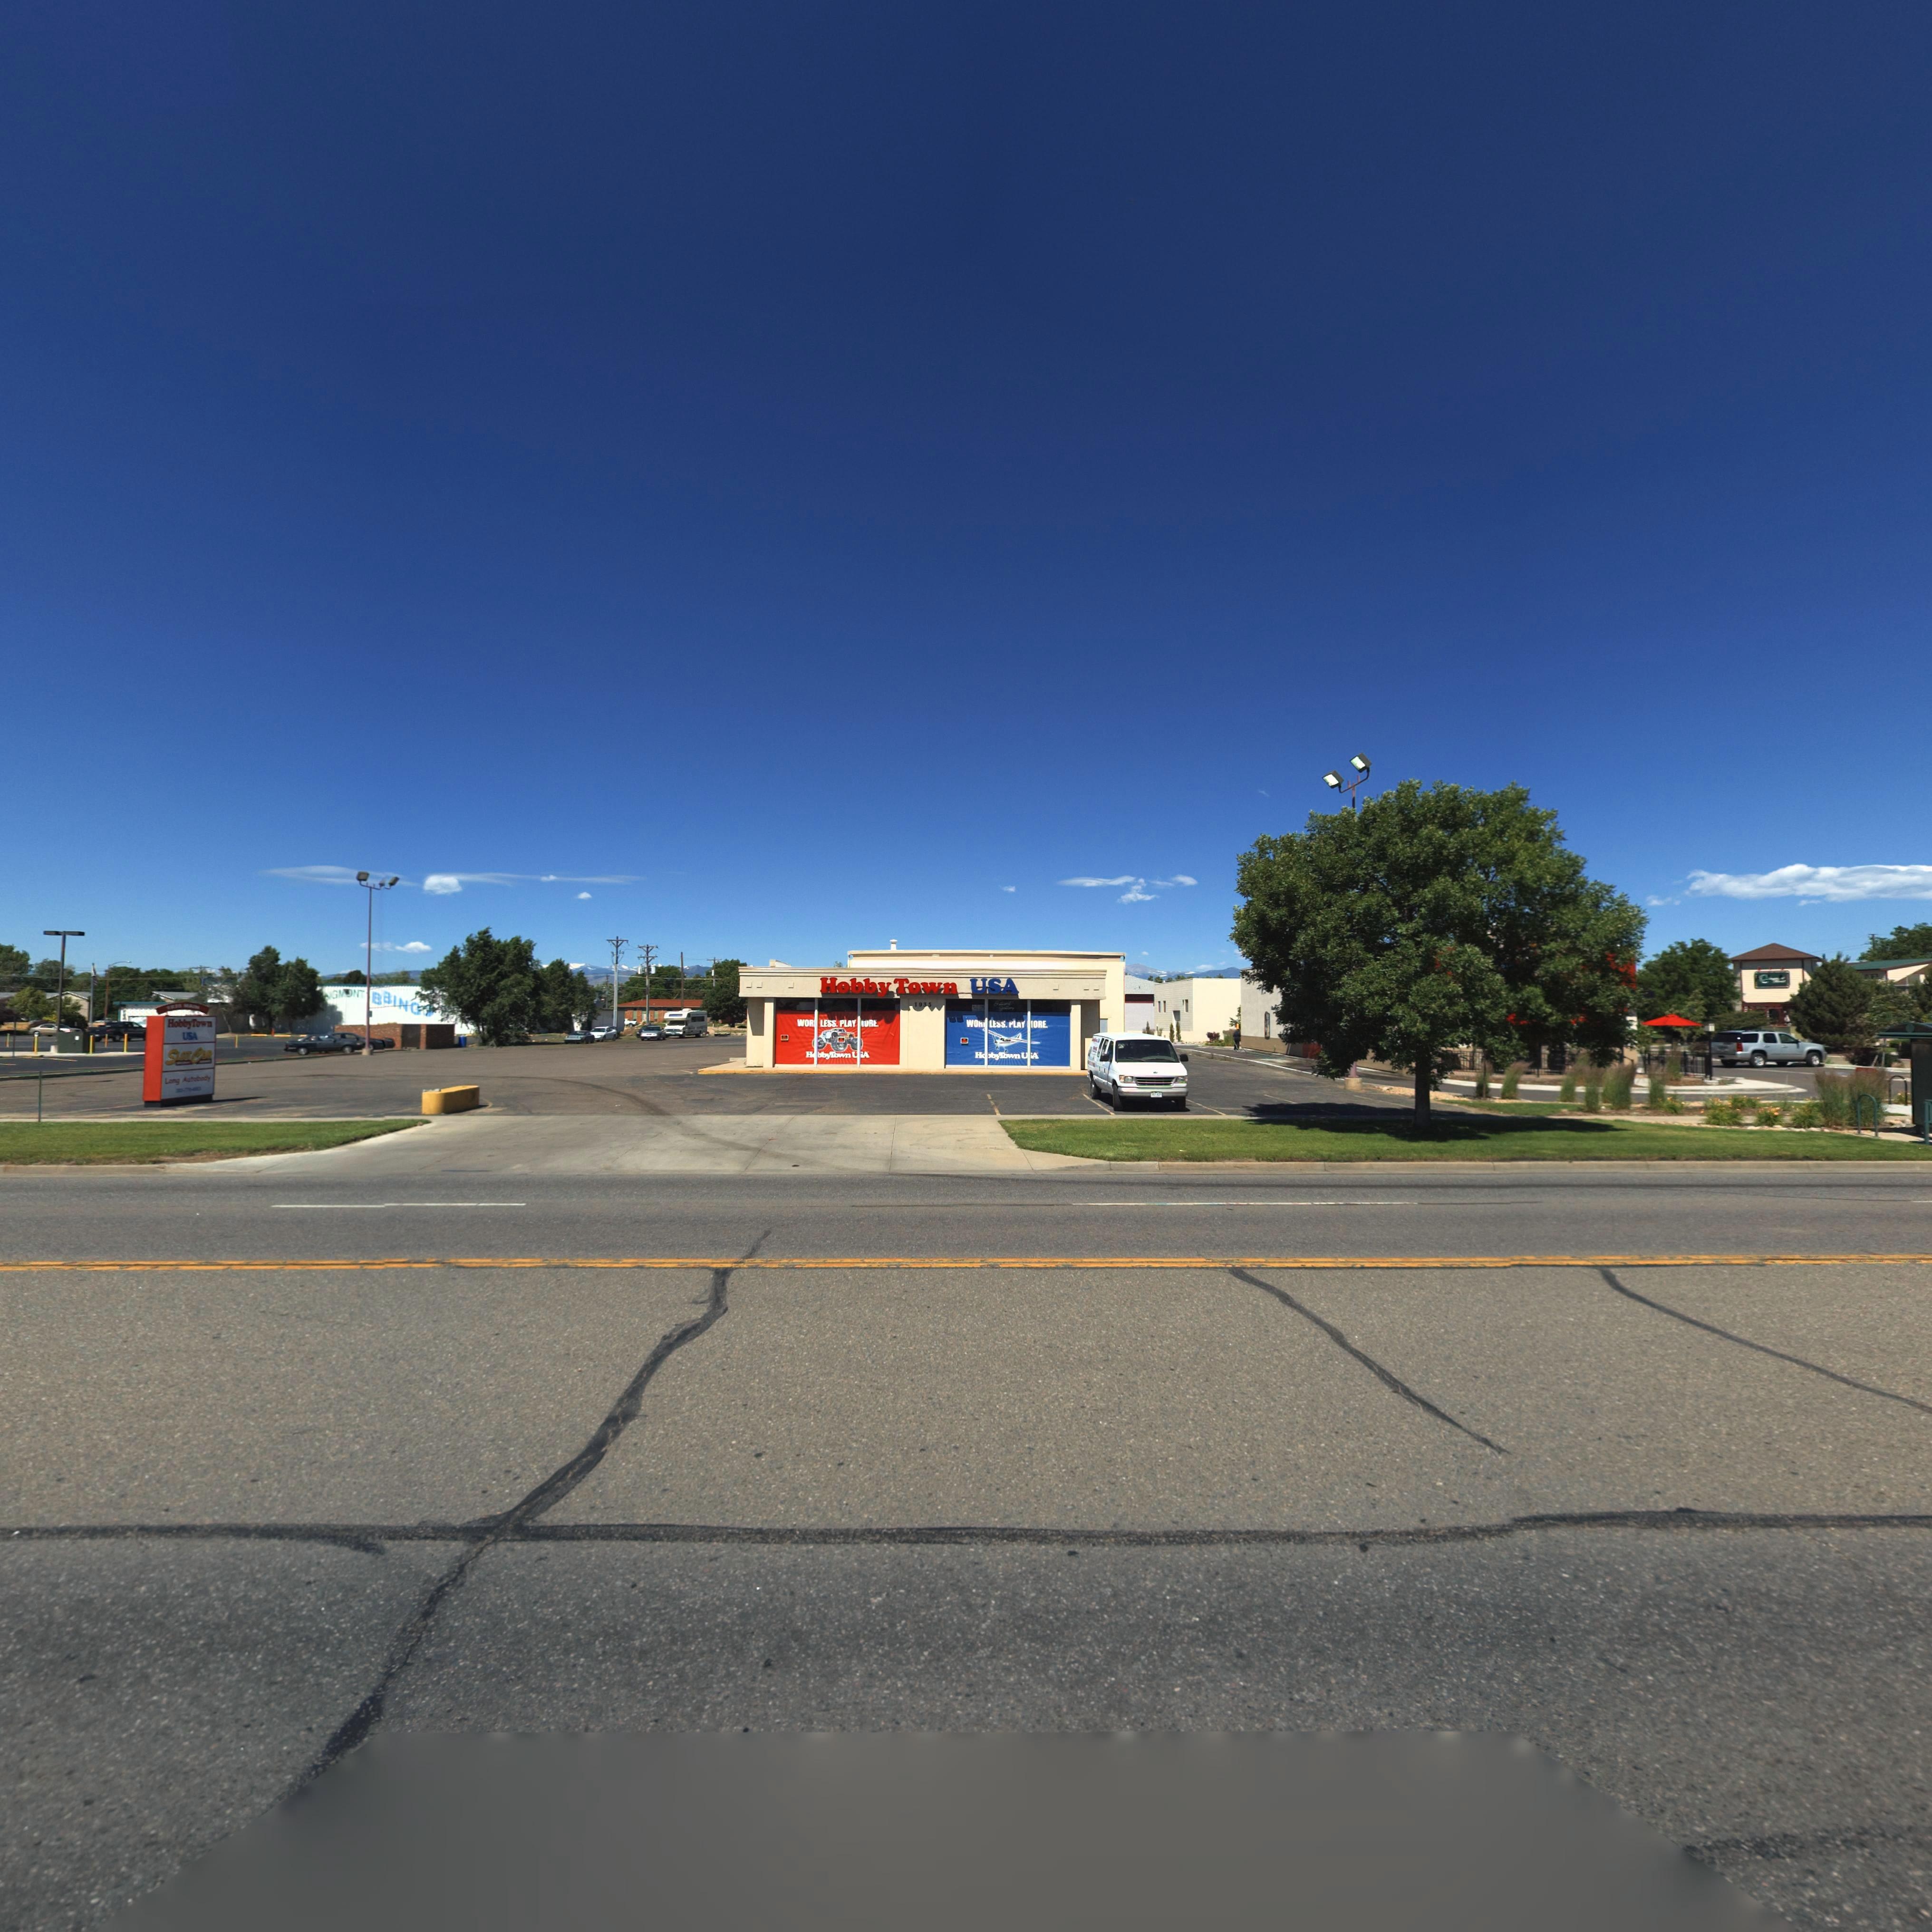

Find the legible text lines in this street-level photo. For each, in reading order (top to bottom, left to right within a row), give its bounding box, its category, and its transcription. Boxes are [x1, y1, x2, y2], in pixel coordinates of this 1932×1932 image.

[819, 977, 1020, 998] BusinessName: HobbyTown USA
[183, 1004, 200, 1010] StreetName: MAIN
[323, 987, 436, 1018] BusinessName: NGMONT B*ING*
[915, 1002, 931, 1007] StreetNumber: 1035
[167, 1018, 213, 1030] BusinessName: HobbyTown
[181, 1032, 199, 1041] BusinessName: USA
[164, 1046, 214, 1065] BusinessName: SLOTCAR
[804, 1051, 870, 1060] BusinessName: H*bbyTown U*A
[974, 1051, 1040, 1061] BusinessName: H**byTown U*A
[164, 1074, 211, 1085] BusinessName: Long Automotive